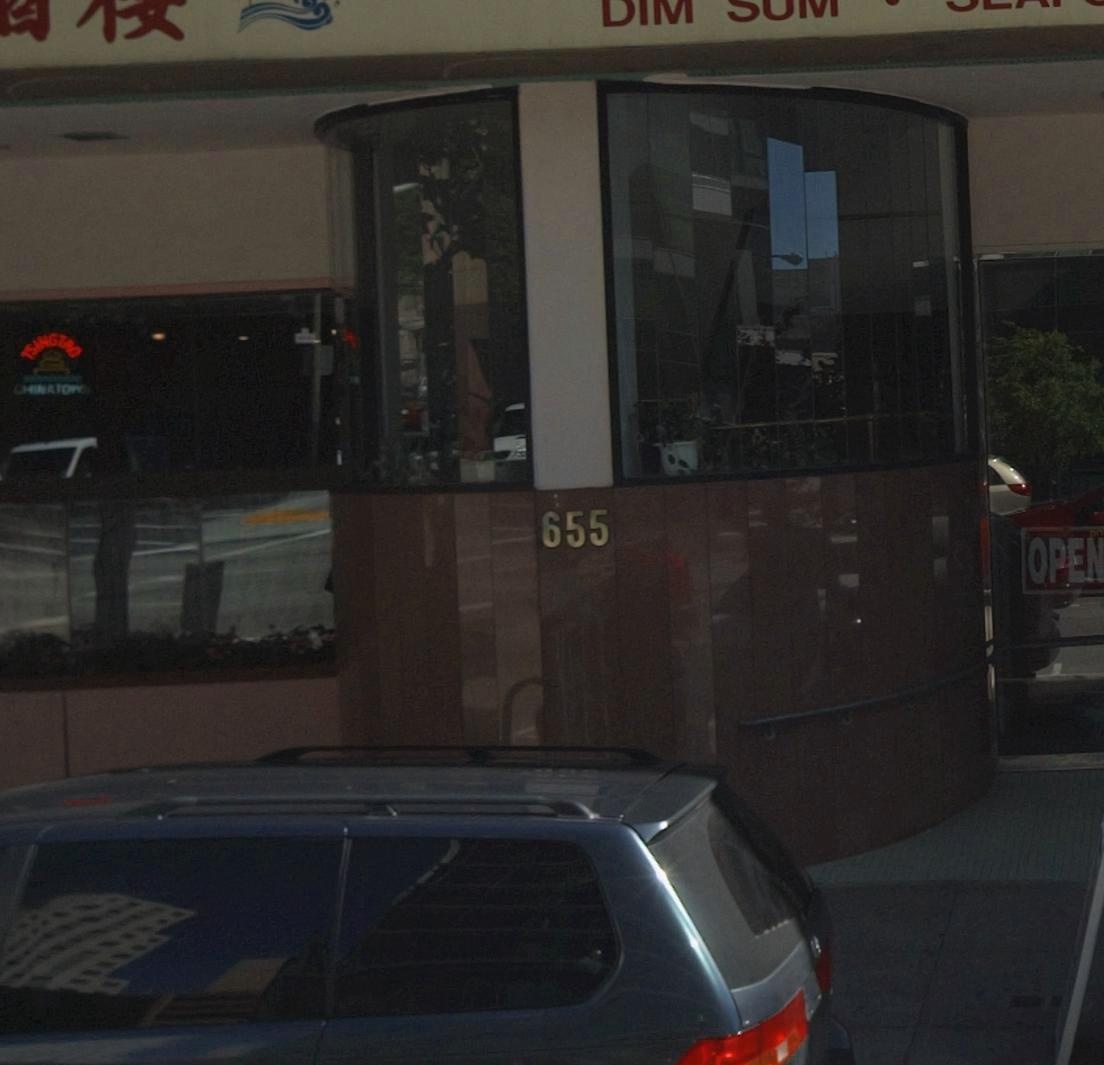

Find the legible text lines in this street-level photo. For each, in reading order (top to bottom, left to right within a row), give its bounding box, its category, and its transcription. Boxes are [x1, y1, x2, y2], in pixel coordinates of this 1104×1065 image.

[17, 330, 88, 361] None: TSANG
[46, 382, 73, 397] None: ATO
[538, 507, 613, 551] StreetNumber: 655
[1024, 533, 1091, 589] None: OPE